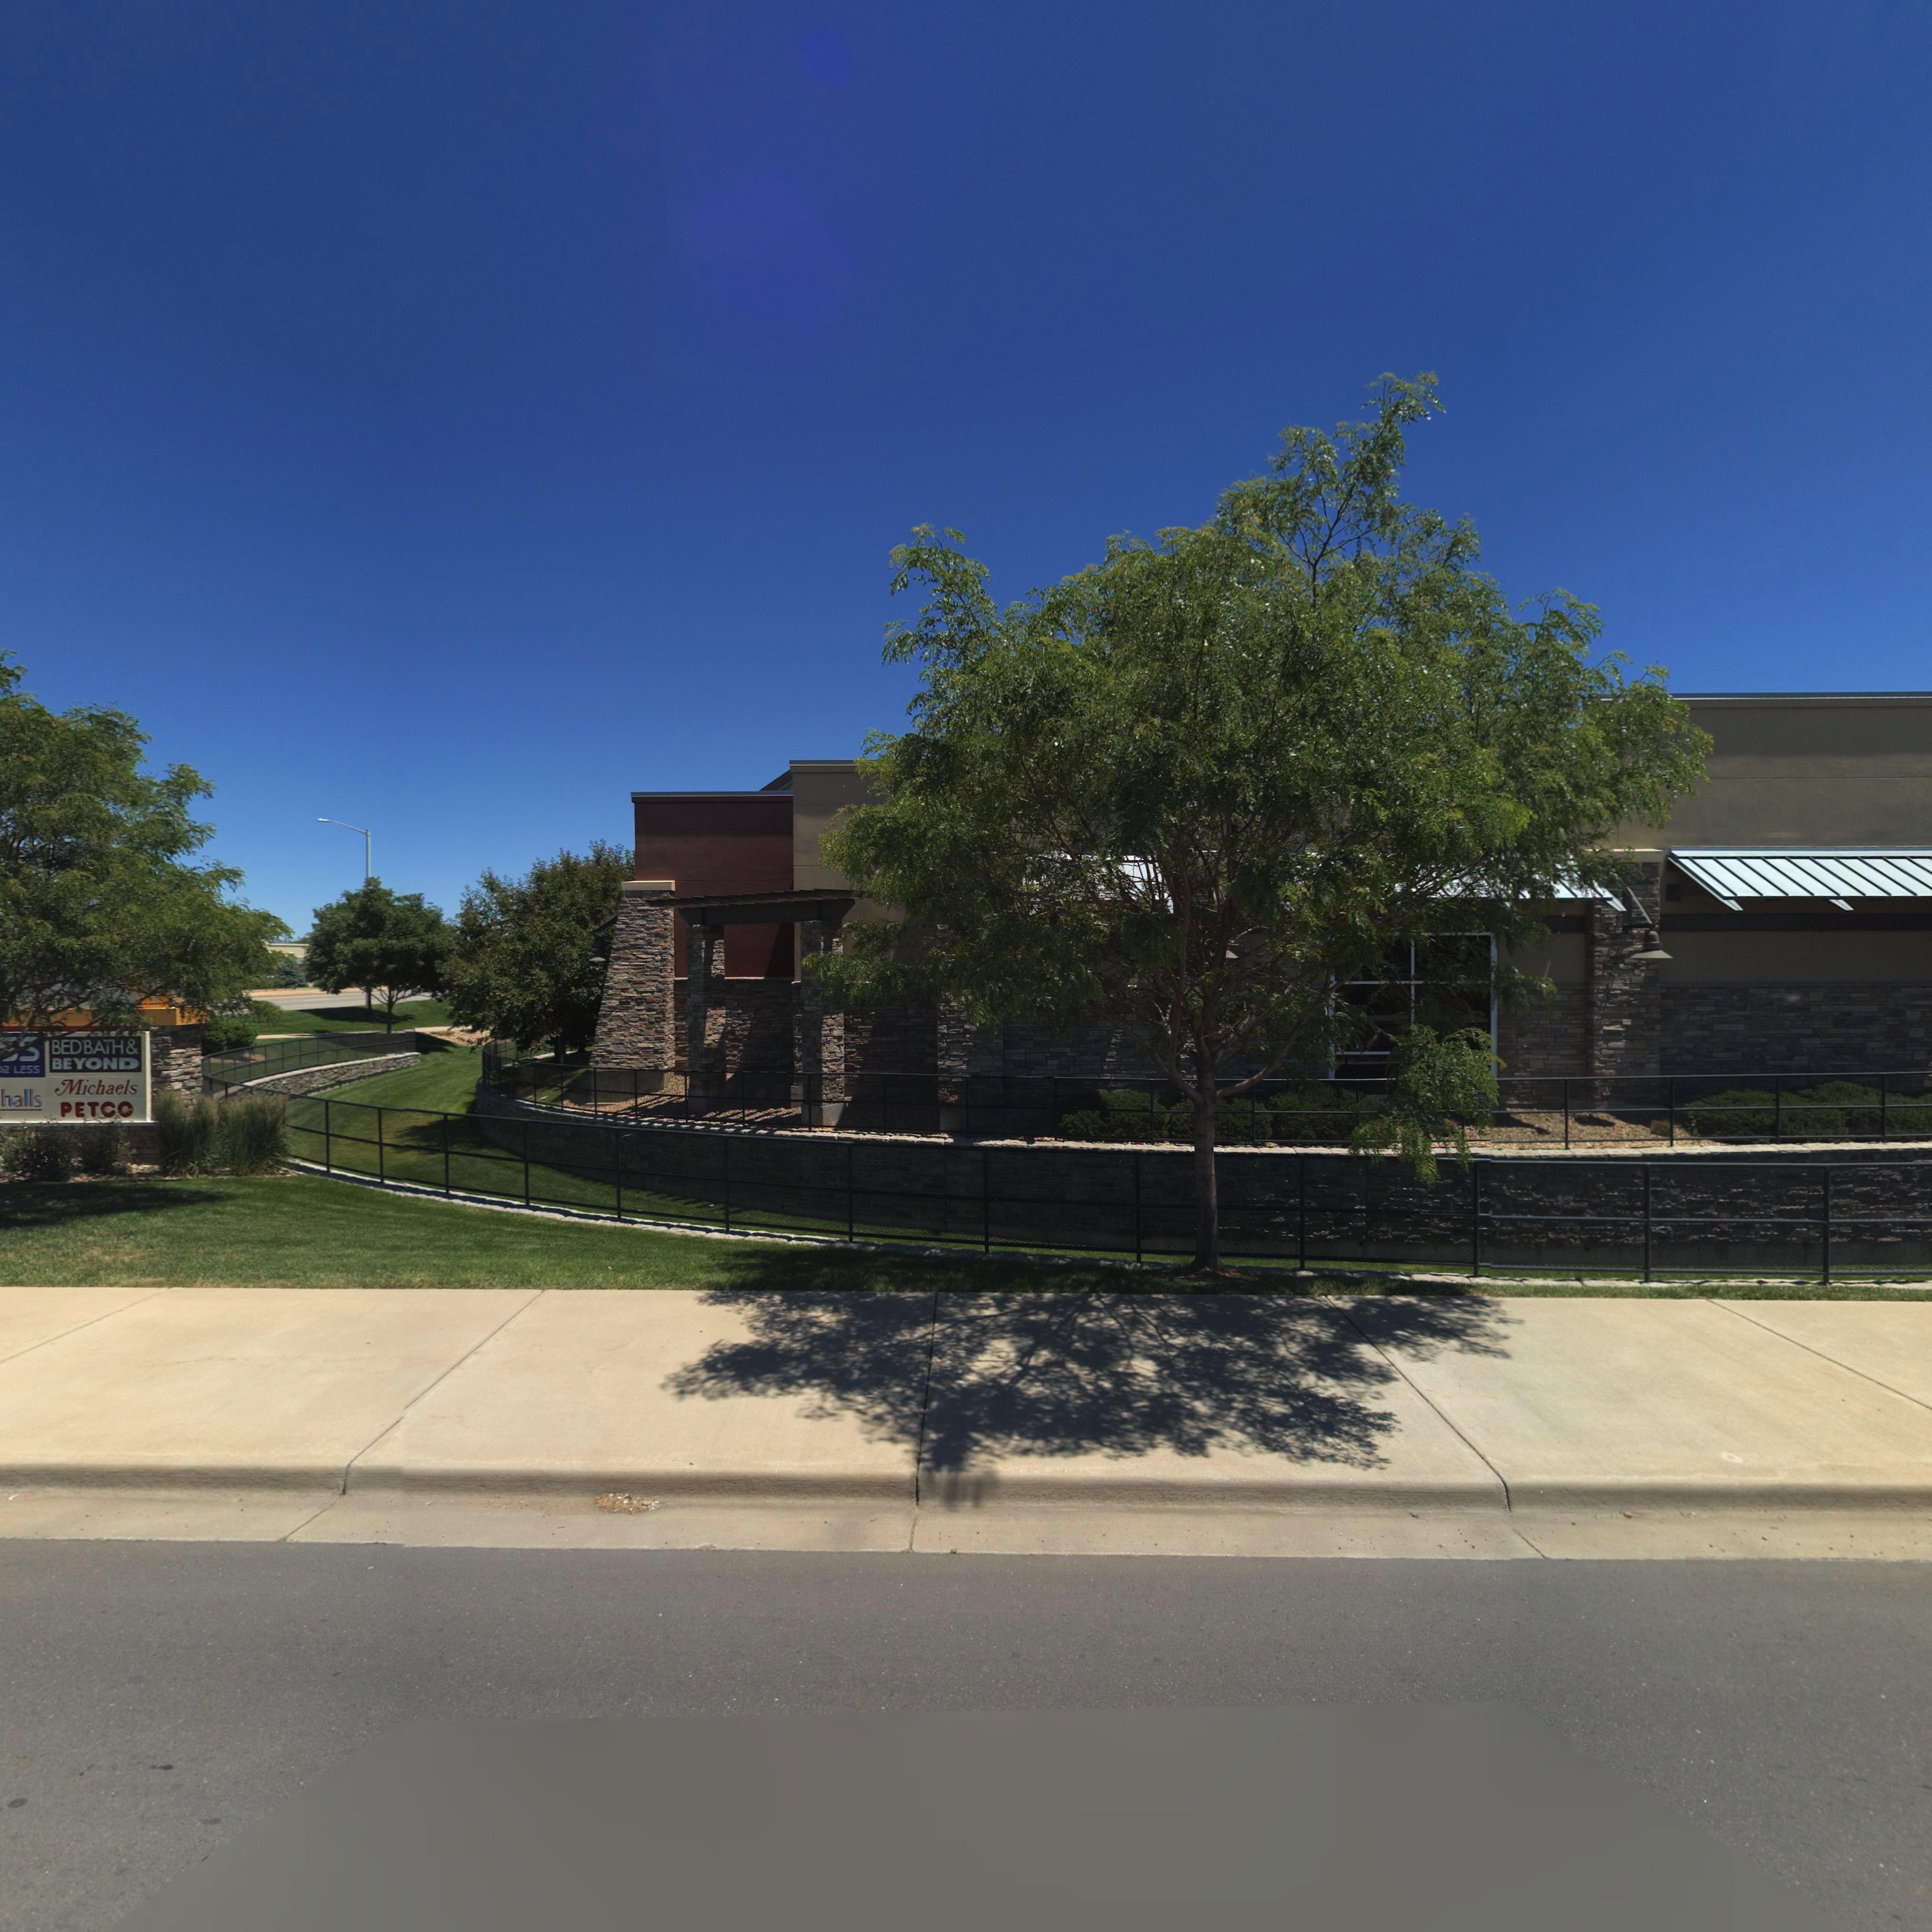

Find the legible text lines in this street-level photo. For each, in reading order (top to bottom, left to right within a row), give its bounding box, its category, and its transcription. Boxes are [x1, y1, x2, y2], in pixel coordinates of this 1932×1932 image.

[18, 1035, 40, 1062] BusinessName: S
[51, 1037, 139, 1055] BusinessName: BEDBATH&
[2, 1065, 40, 1074] BusinessName: R LESS
[51, 1056, 140, 1070] BusinessName: BEYOND
[54, 1079, 138, 1096] BusinessName: Michaels
[0, 1088, 42, 1108] BusinessName: halls
[59, 1100, 134, 1119] BusinessName: PETCO